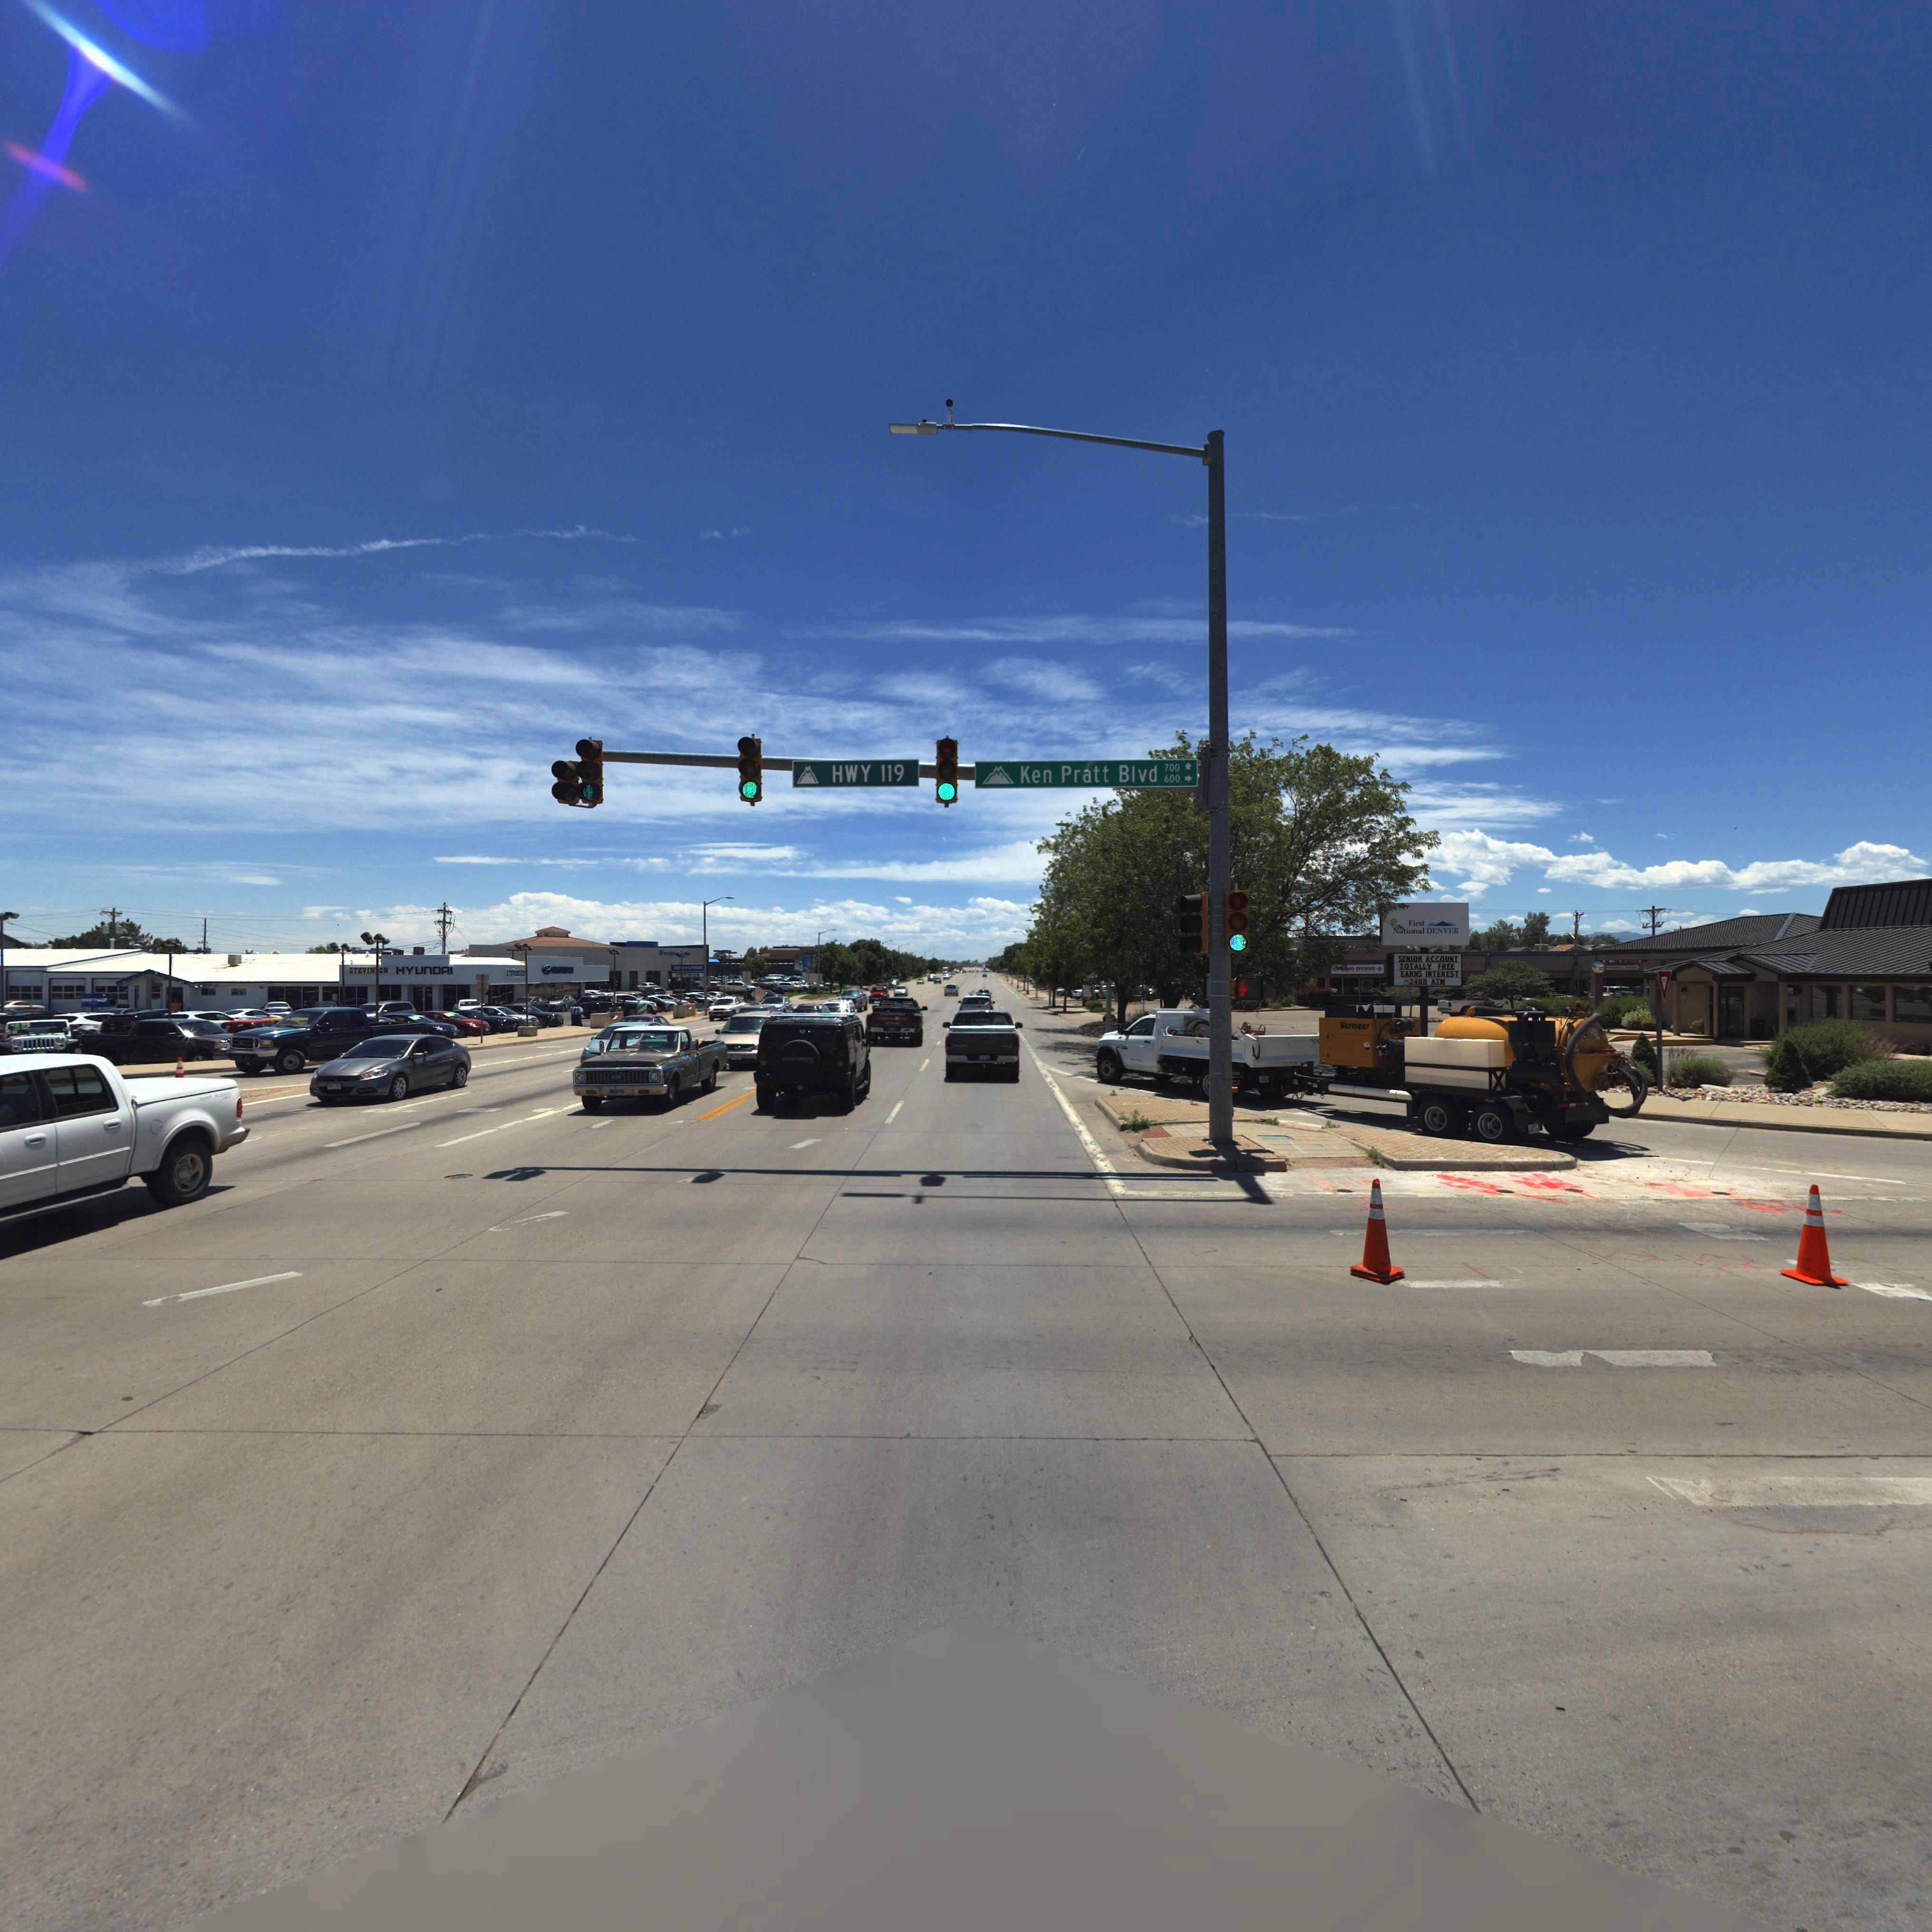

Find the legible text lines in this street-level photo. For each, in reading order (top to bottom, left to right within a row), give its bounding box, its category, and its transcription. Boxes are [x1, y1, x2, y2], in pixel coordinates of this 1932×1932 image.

[1164, 763, 1179, 772] StreetNumberRange: 700
[829, 762, 907, 783] StreetName: HWY 119
[1018, 762, 1159, 785] StreetName: Ken Pratt Blvd
[1163, 773, 1193, 783] StreetNumberRange: 600 ->
[1408, 919, 1425, 927] BusinessName: First
[1393, 927, 1459, 935] BusinessName: National DENVER
[659, 949, 692, 956] BusinessName: Fro****r
[348, 967, 388, 974] BusinessName: STEVIN*ON
[396, 966, 454, 975] BusinessName: HYUnDAI
[505, 969, 526, 977] BusinessName: STEVENS**
[675, 972, 700, 977] BusinessName: ST*VIN**N